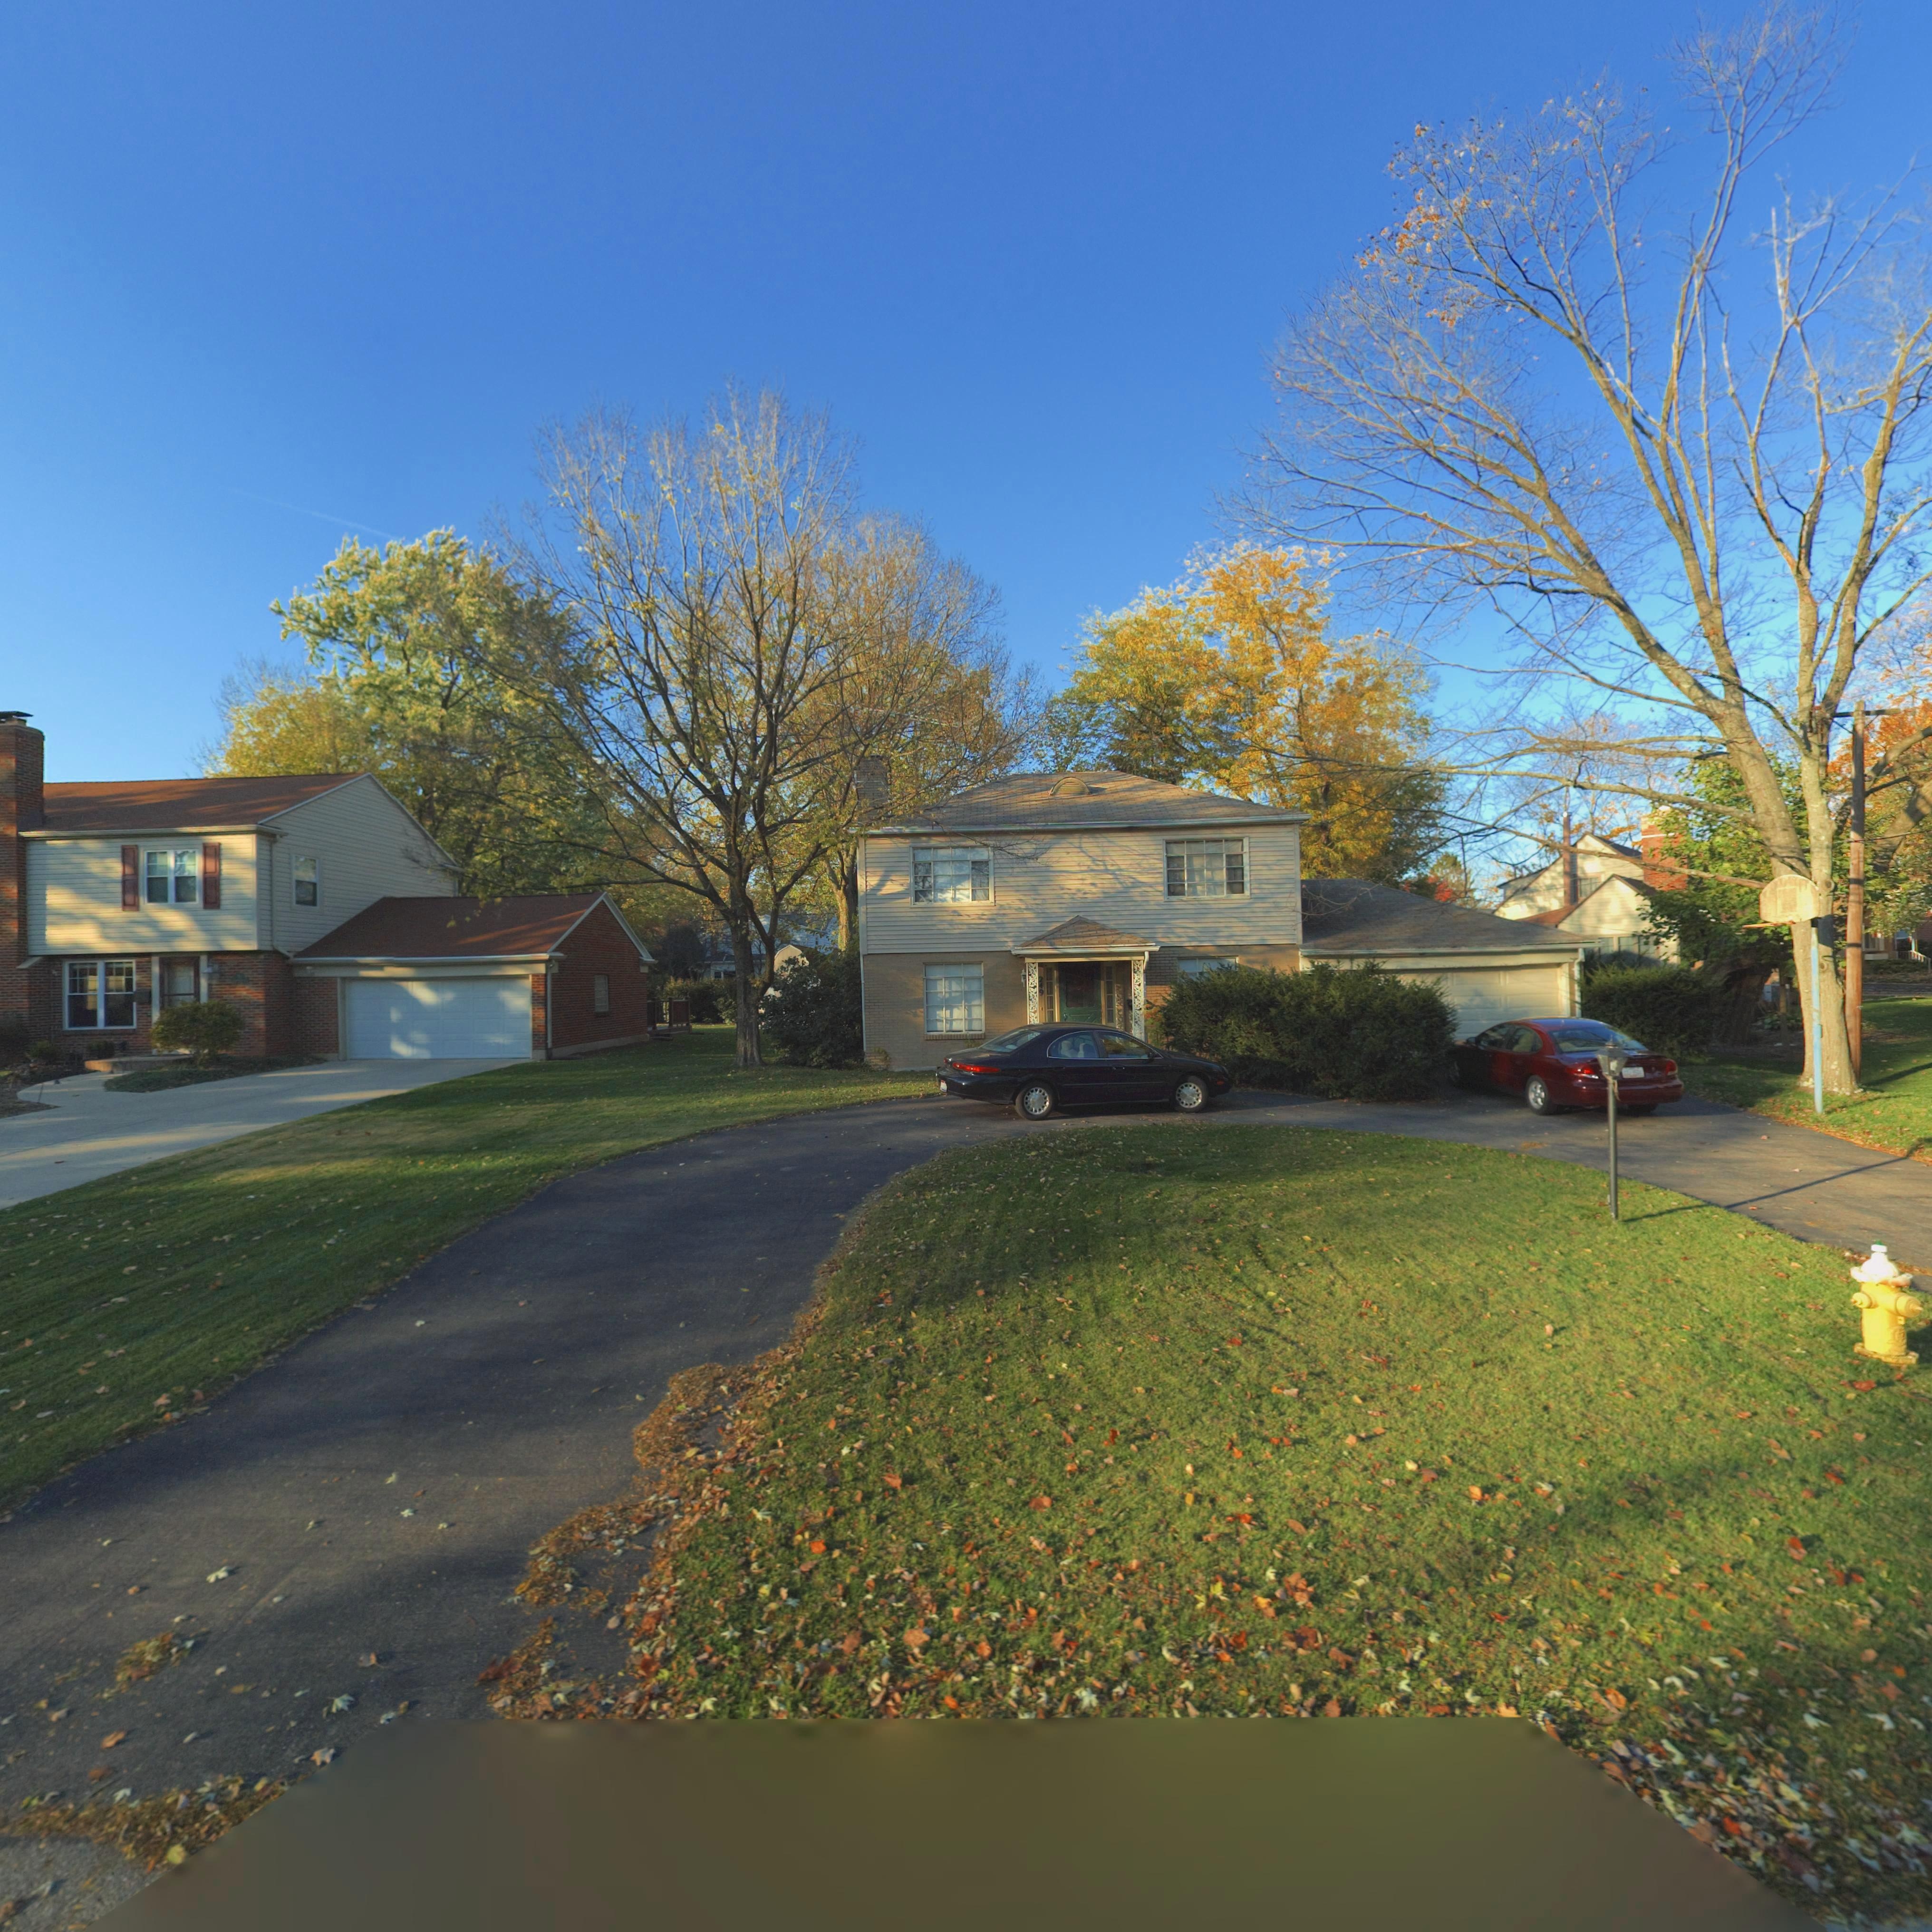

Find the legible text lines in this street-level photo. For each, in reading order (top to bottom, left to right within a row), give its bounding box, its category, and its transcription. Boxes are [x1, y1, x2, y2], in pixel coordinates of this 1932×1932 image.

[1038, 976, 1044, 996] StreetNumber: 249